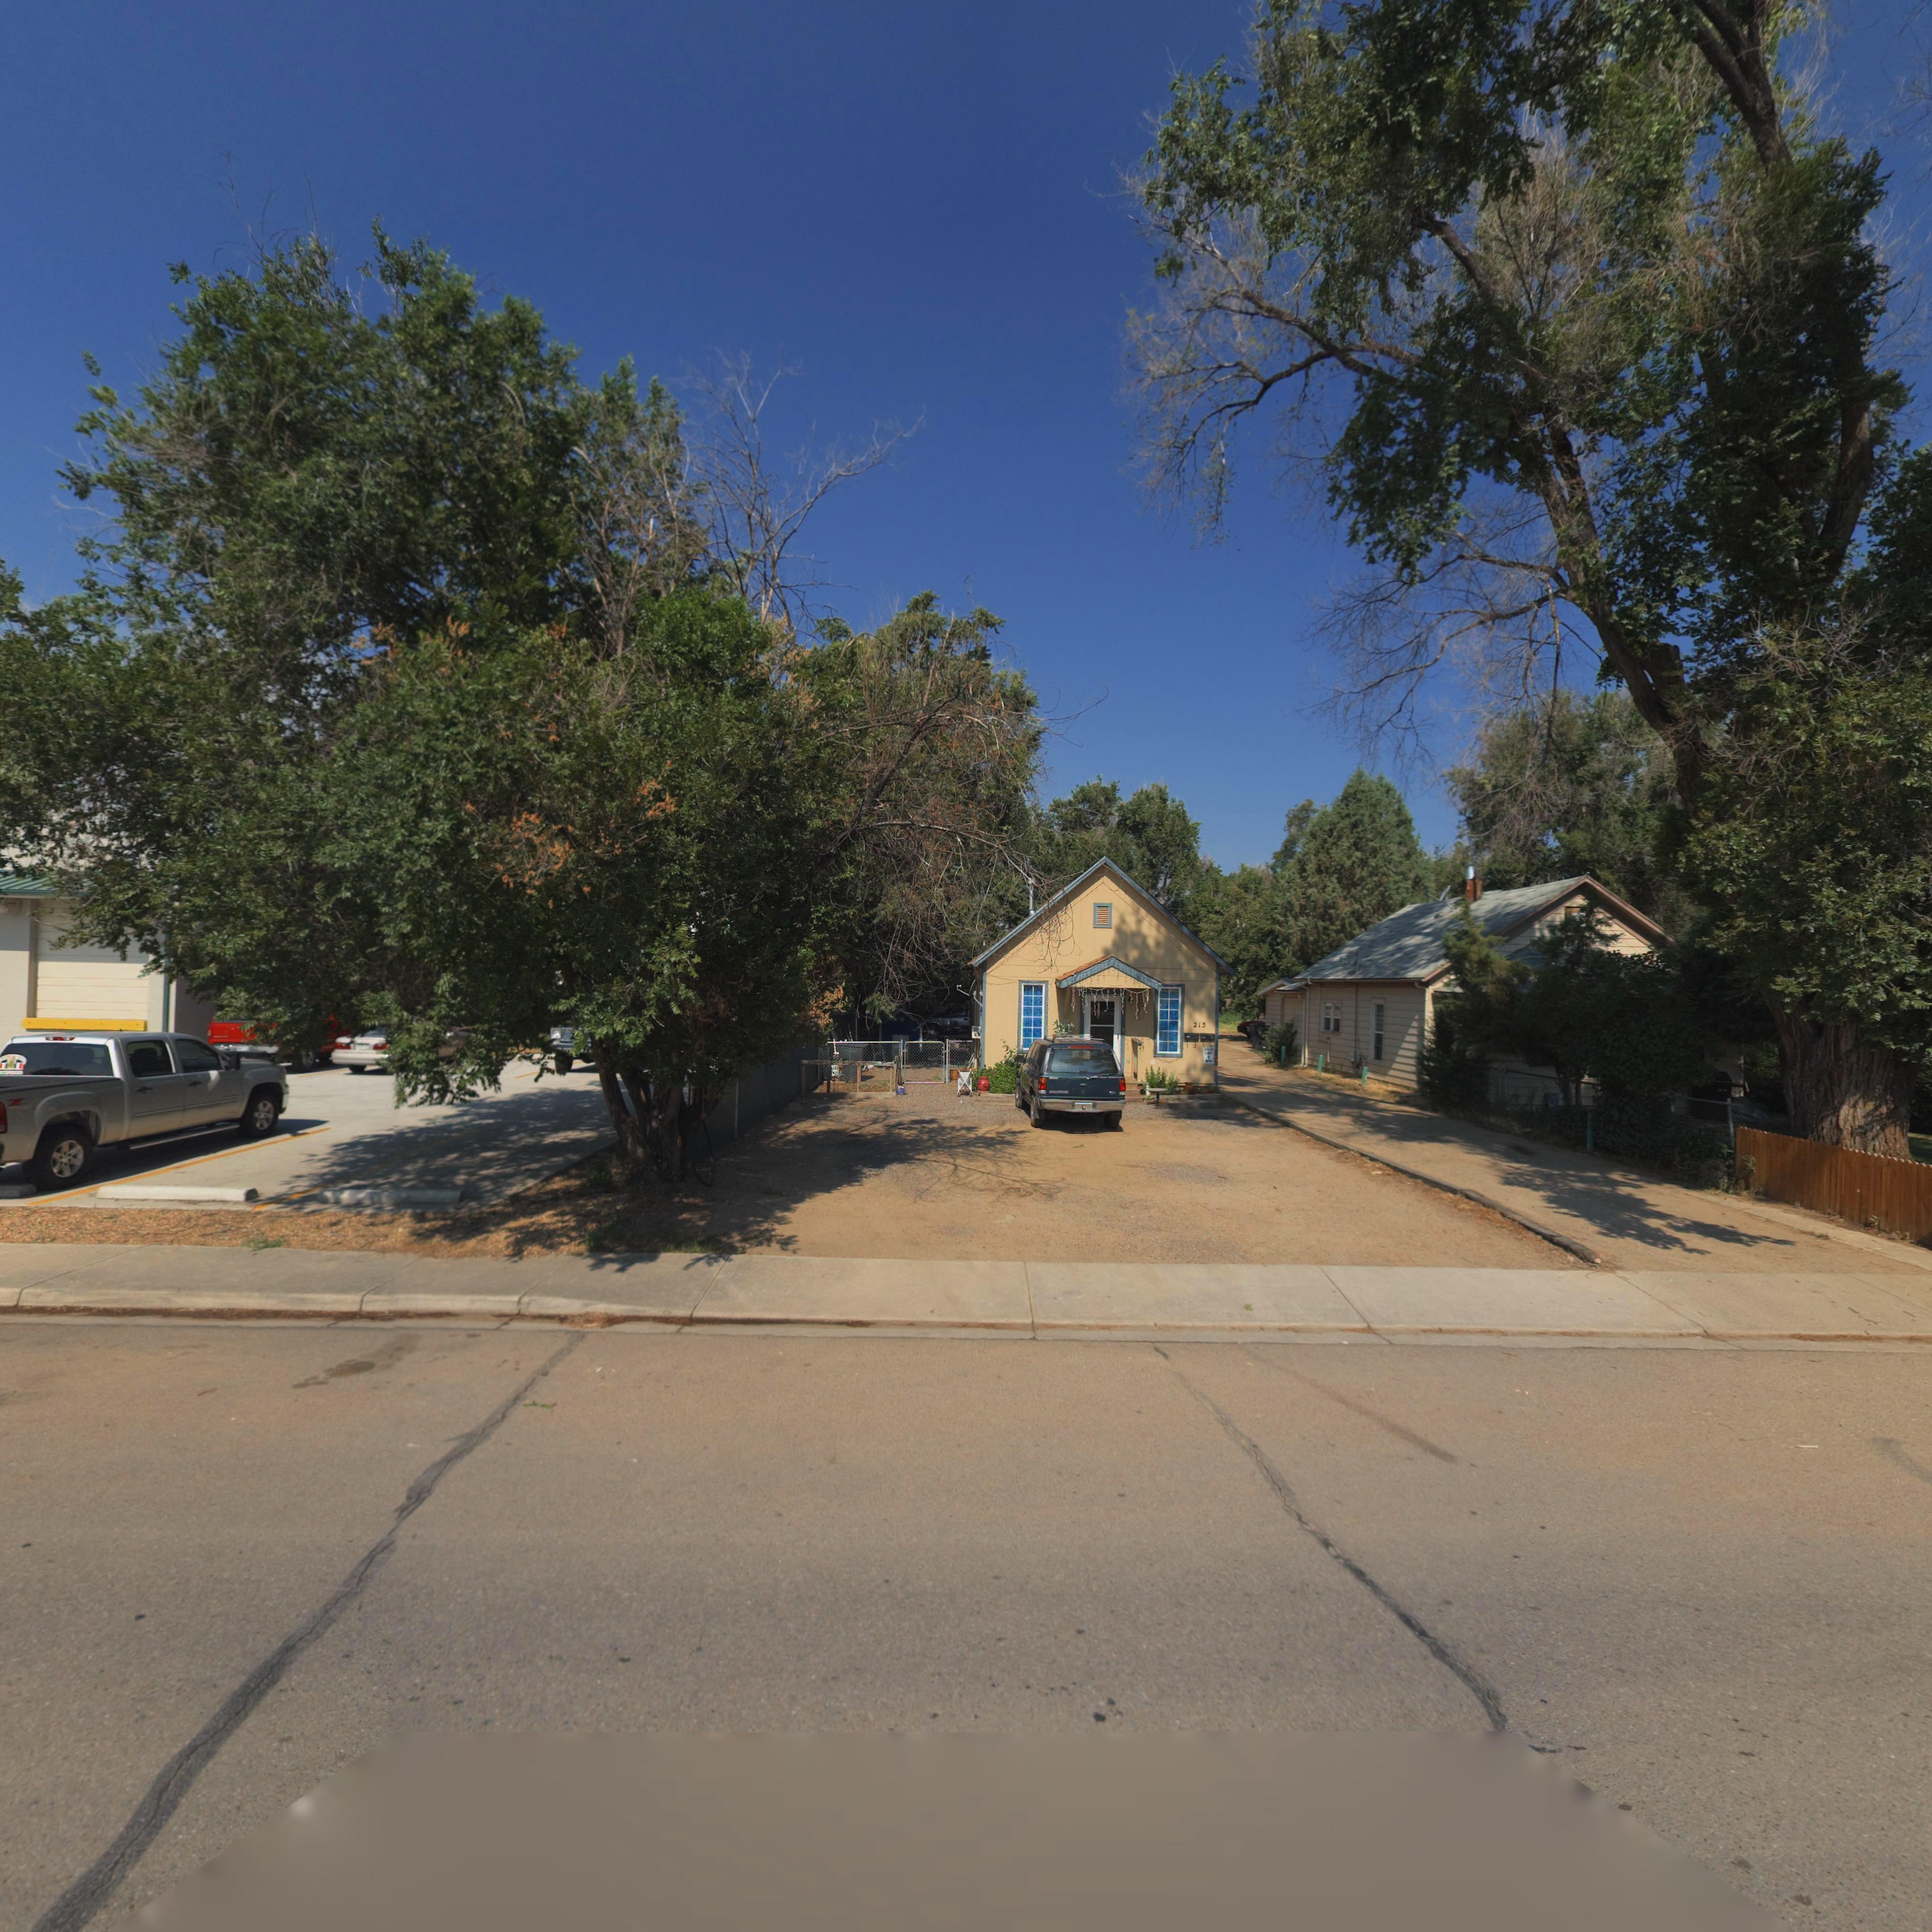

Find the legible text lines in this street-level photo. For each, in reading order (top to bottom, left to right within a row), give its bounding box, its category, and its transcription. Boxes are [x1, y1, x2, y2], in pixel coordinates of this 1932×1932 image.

[1193, 1021, 1206, 1028] StreetNumber: 215